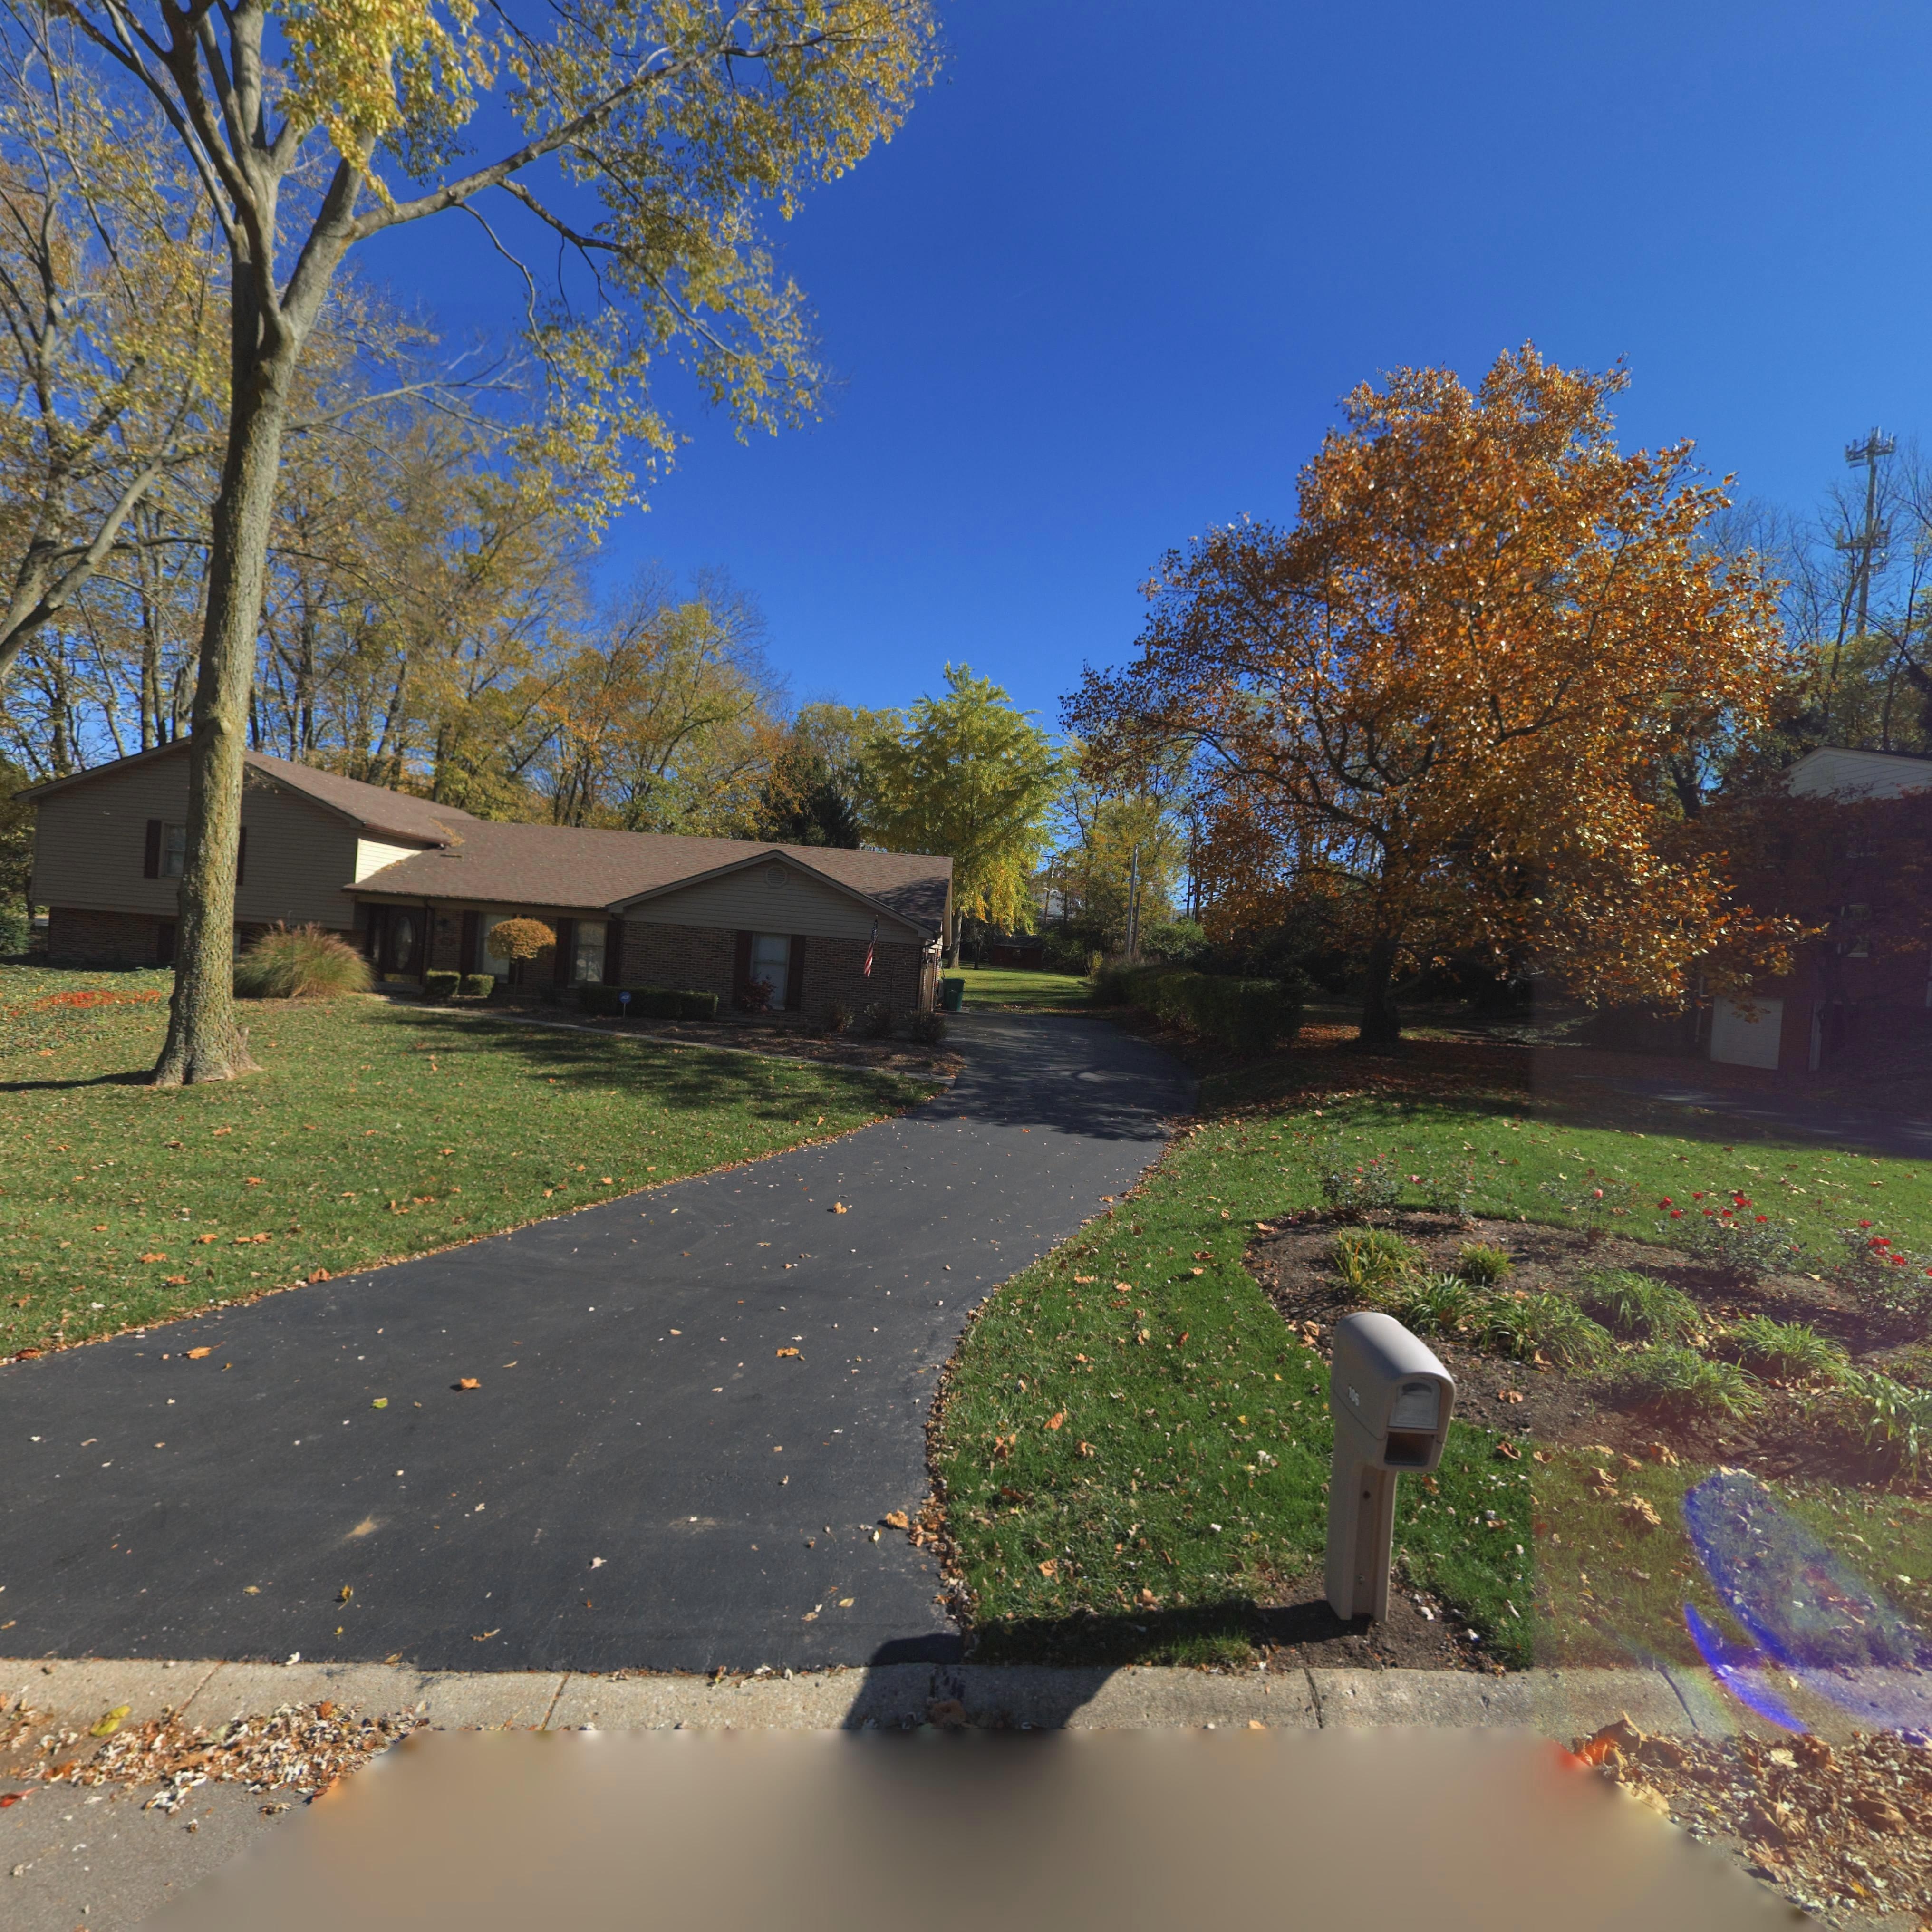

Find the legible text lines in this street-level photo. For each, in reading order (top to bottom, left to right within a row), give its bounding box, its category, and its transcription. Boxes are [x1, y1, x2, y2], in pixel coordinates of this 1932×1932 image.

[1347, 1384, 1361, 1407] StreetNumber: 106